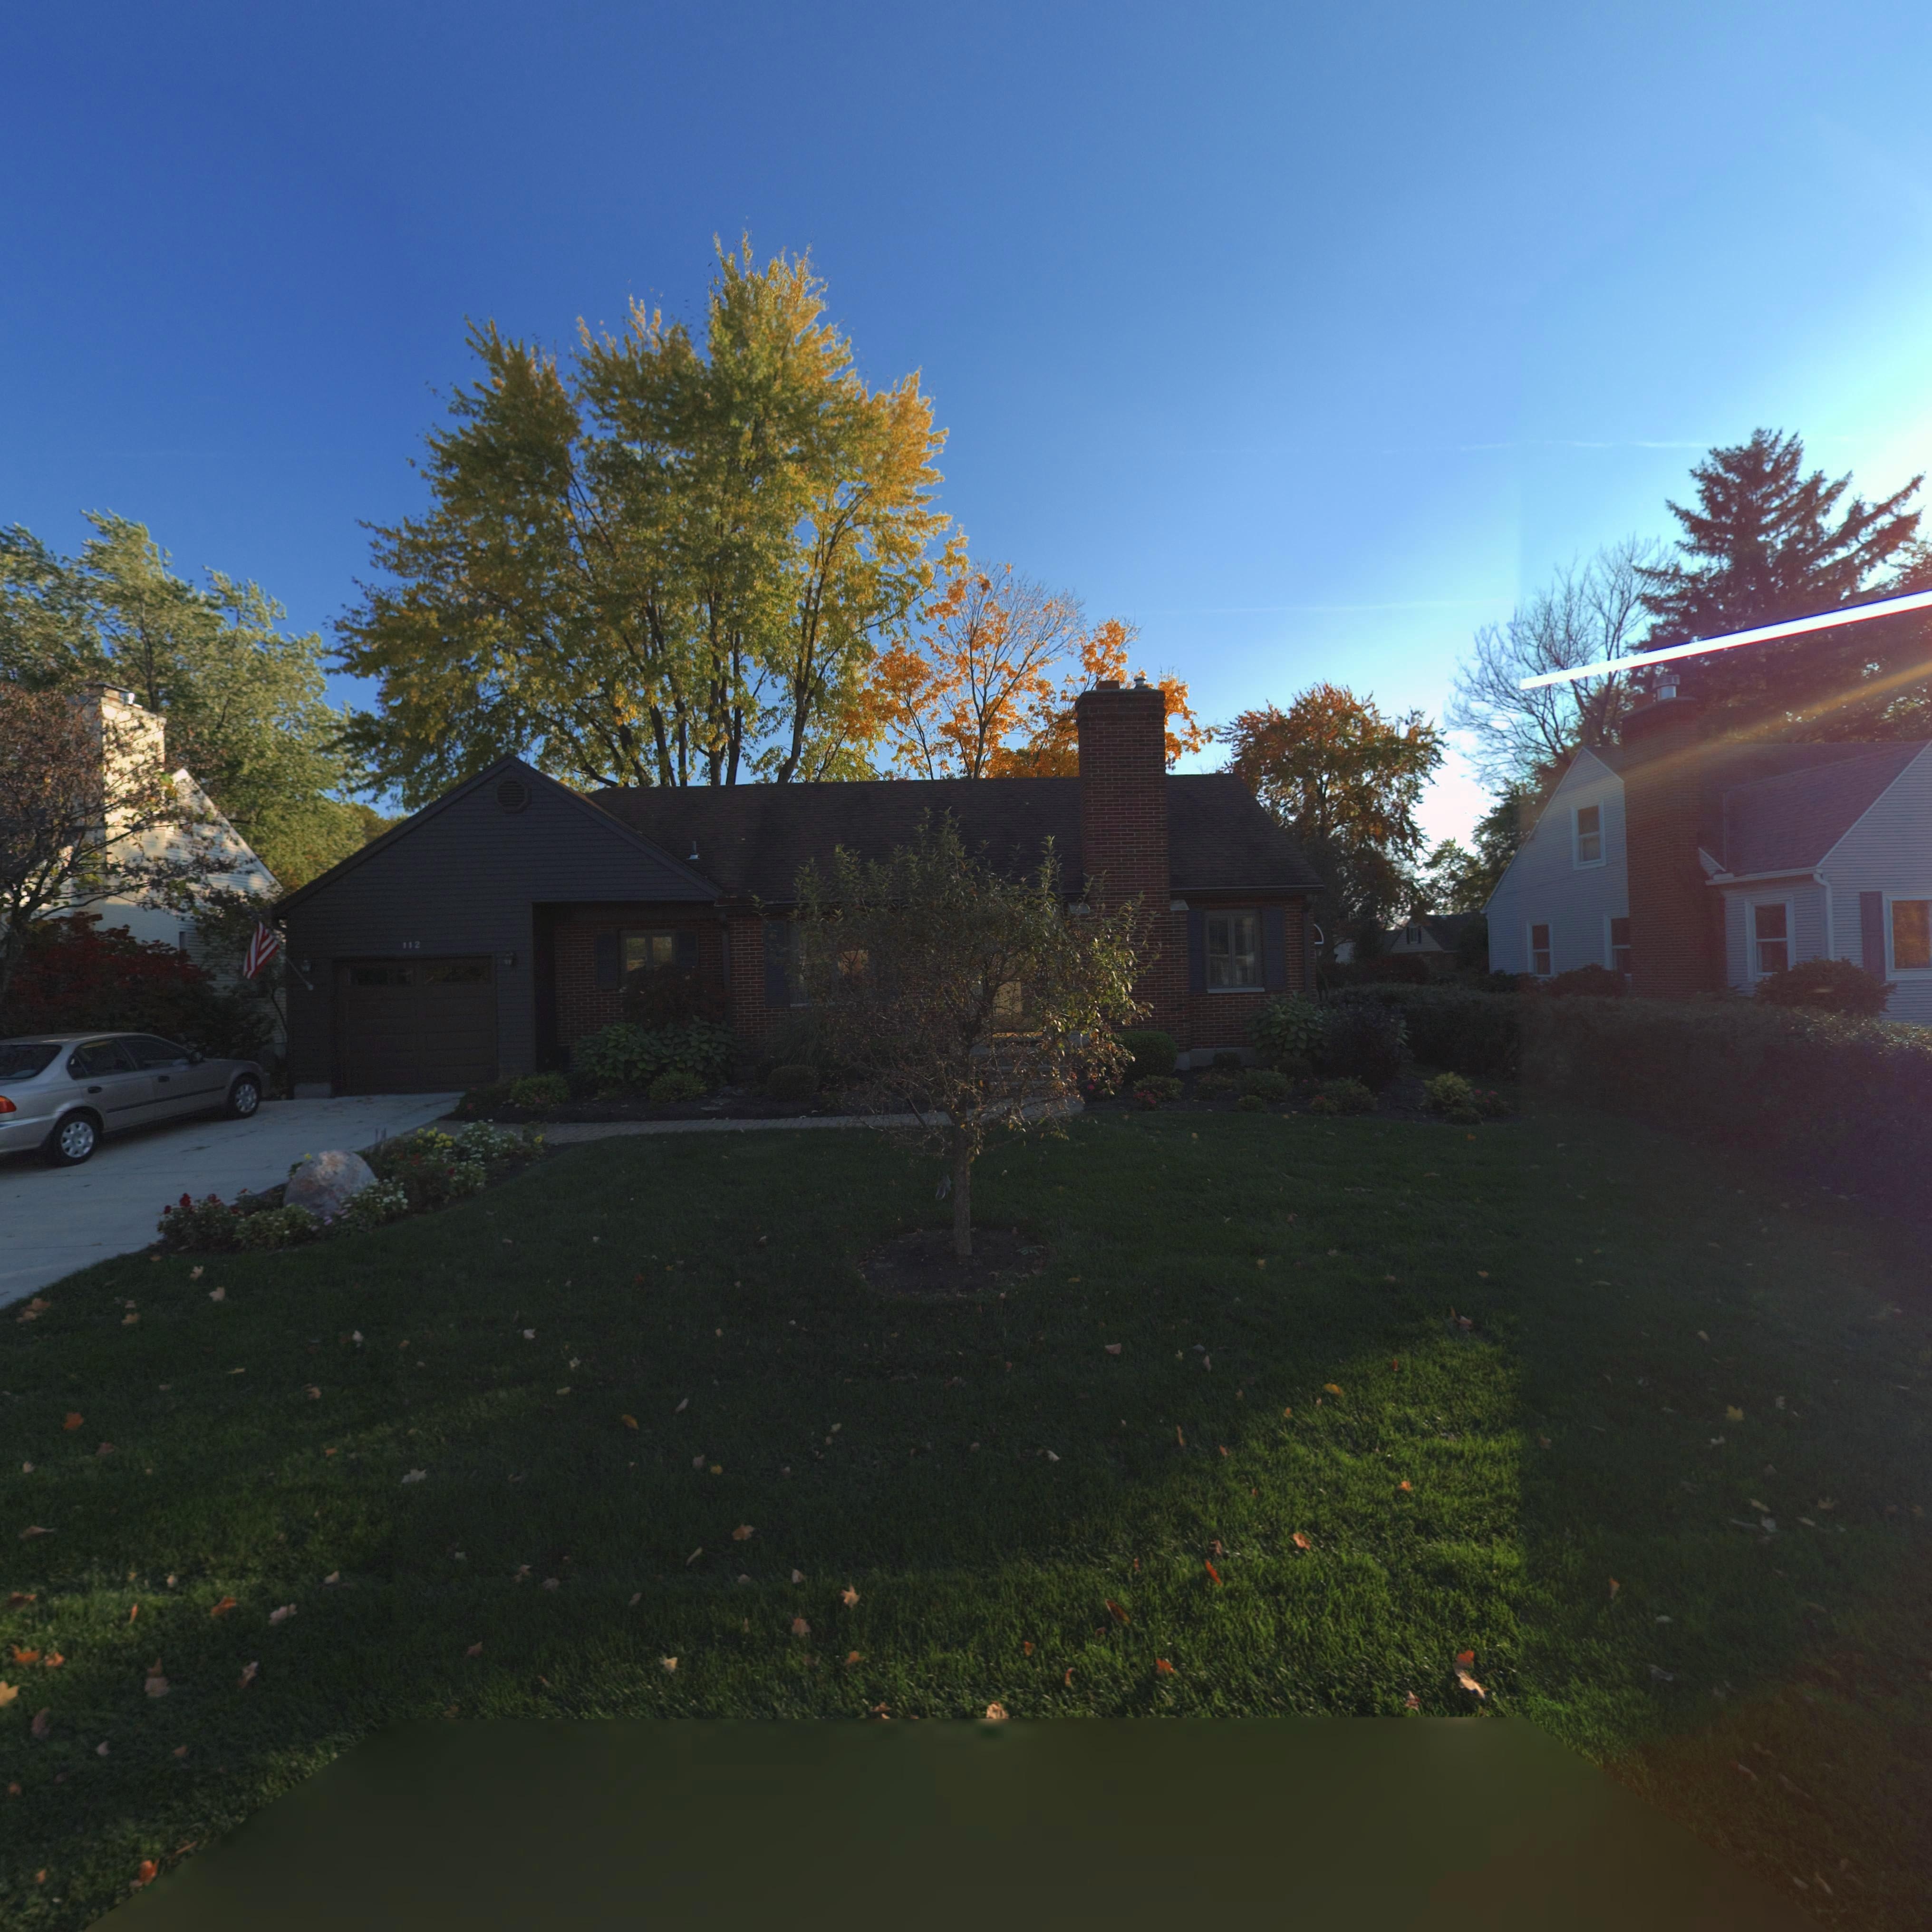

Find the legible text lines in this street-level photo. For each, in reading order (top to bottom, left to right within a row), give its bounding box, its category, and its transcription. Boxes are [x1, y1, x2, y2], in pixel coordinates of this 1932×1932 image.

[402, 940, 421, 950] StreetNumber: 112